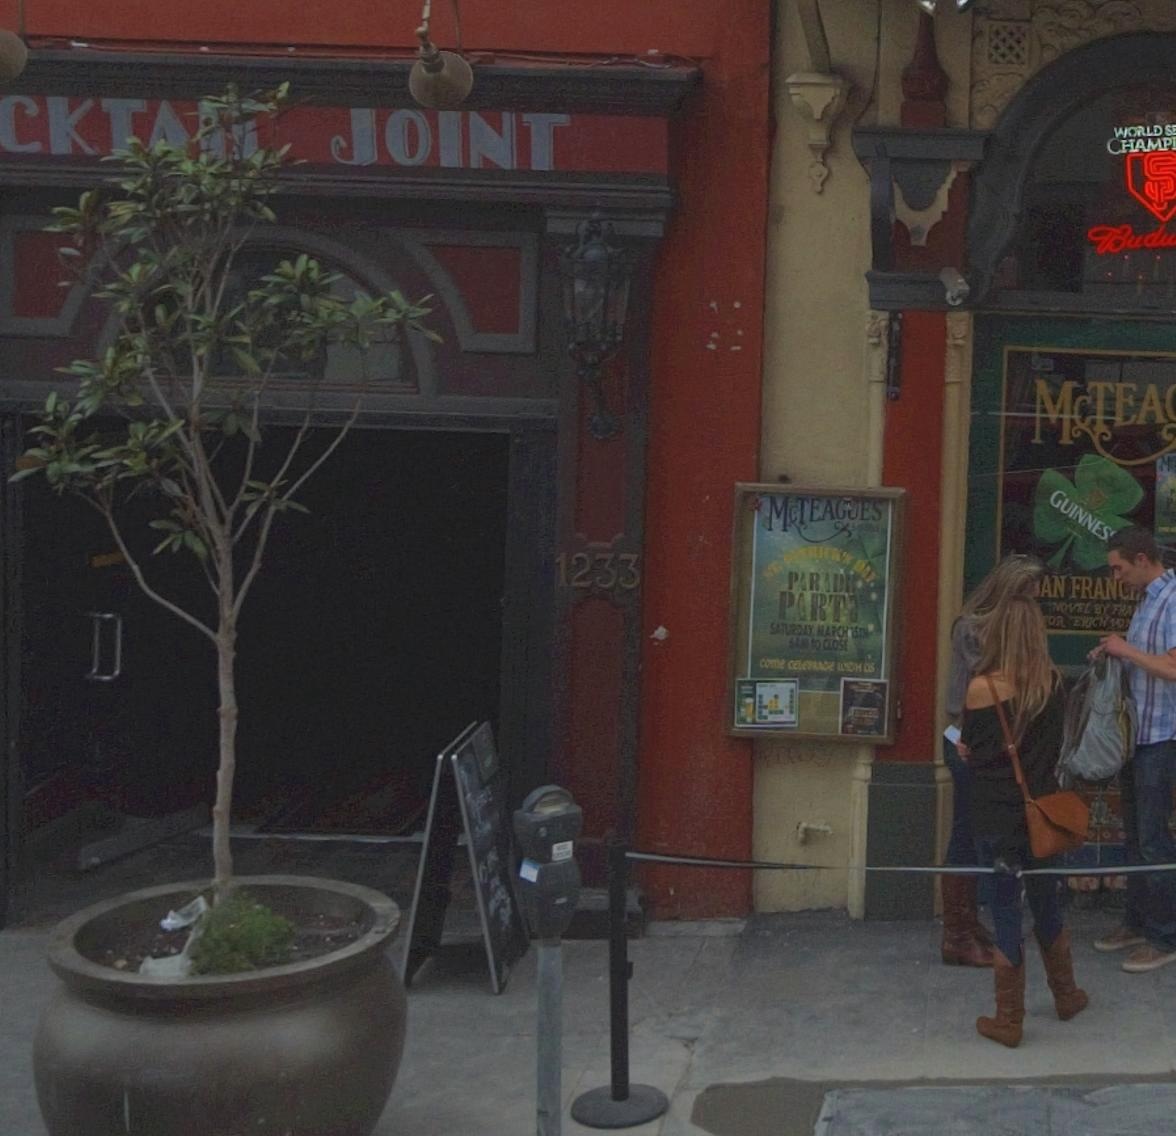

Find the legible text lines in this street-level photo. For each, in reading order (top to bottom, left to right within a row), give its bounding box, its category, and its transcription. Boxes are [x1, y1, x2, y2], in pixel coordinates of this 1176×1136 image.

[0, 93, 574, 173] BusinessName: CKT*** JOINT
[1105, 137, 1173, 156] None: CHAMP
[1111, 124, 1173, 140] None: WORLD S
[1095, 223, 1168, 255] None: Bud
[1030, 378, 1171, 446] BusinessName: McTEA
[766, 494, 884, 533] BusinessName: McTEAGUES
[1048, 489, 1113, 544] None: GUINNES
[554, 551, 643, 590] StreetNumber: 1233
[787, 570, 856, 594] None: PARADE
[1039, 574, 1118, 601] None: AN FRAN
[787, 636, 849, 652] None: 6AM TO CLOSE
[768, 621, 869, 640] None: SATURDAY, MARCH 16TH
[777, 590, 865, 625] None: PARTY
[1047, 613, 1125, 631] None: OR ERICH VO
[1050, 601, 1133, 617] None: NOVEL BY FRA